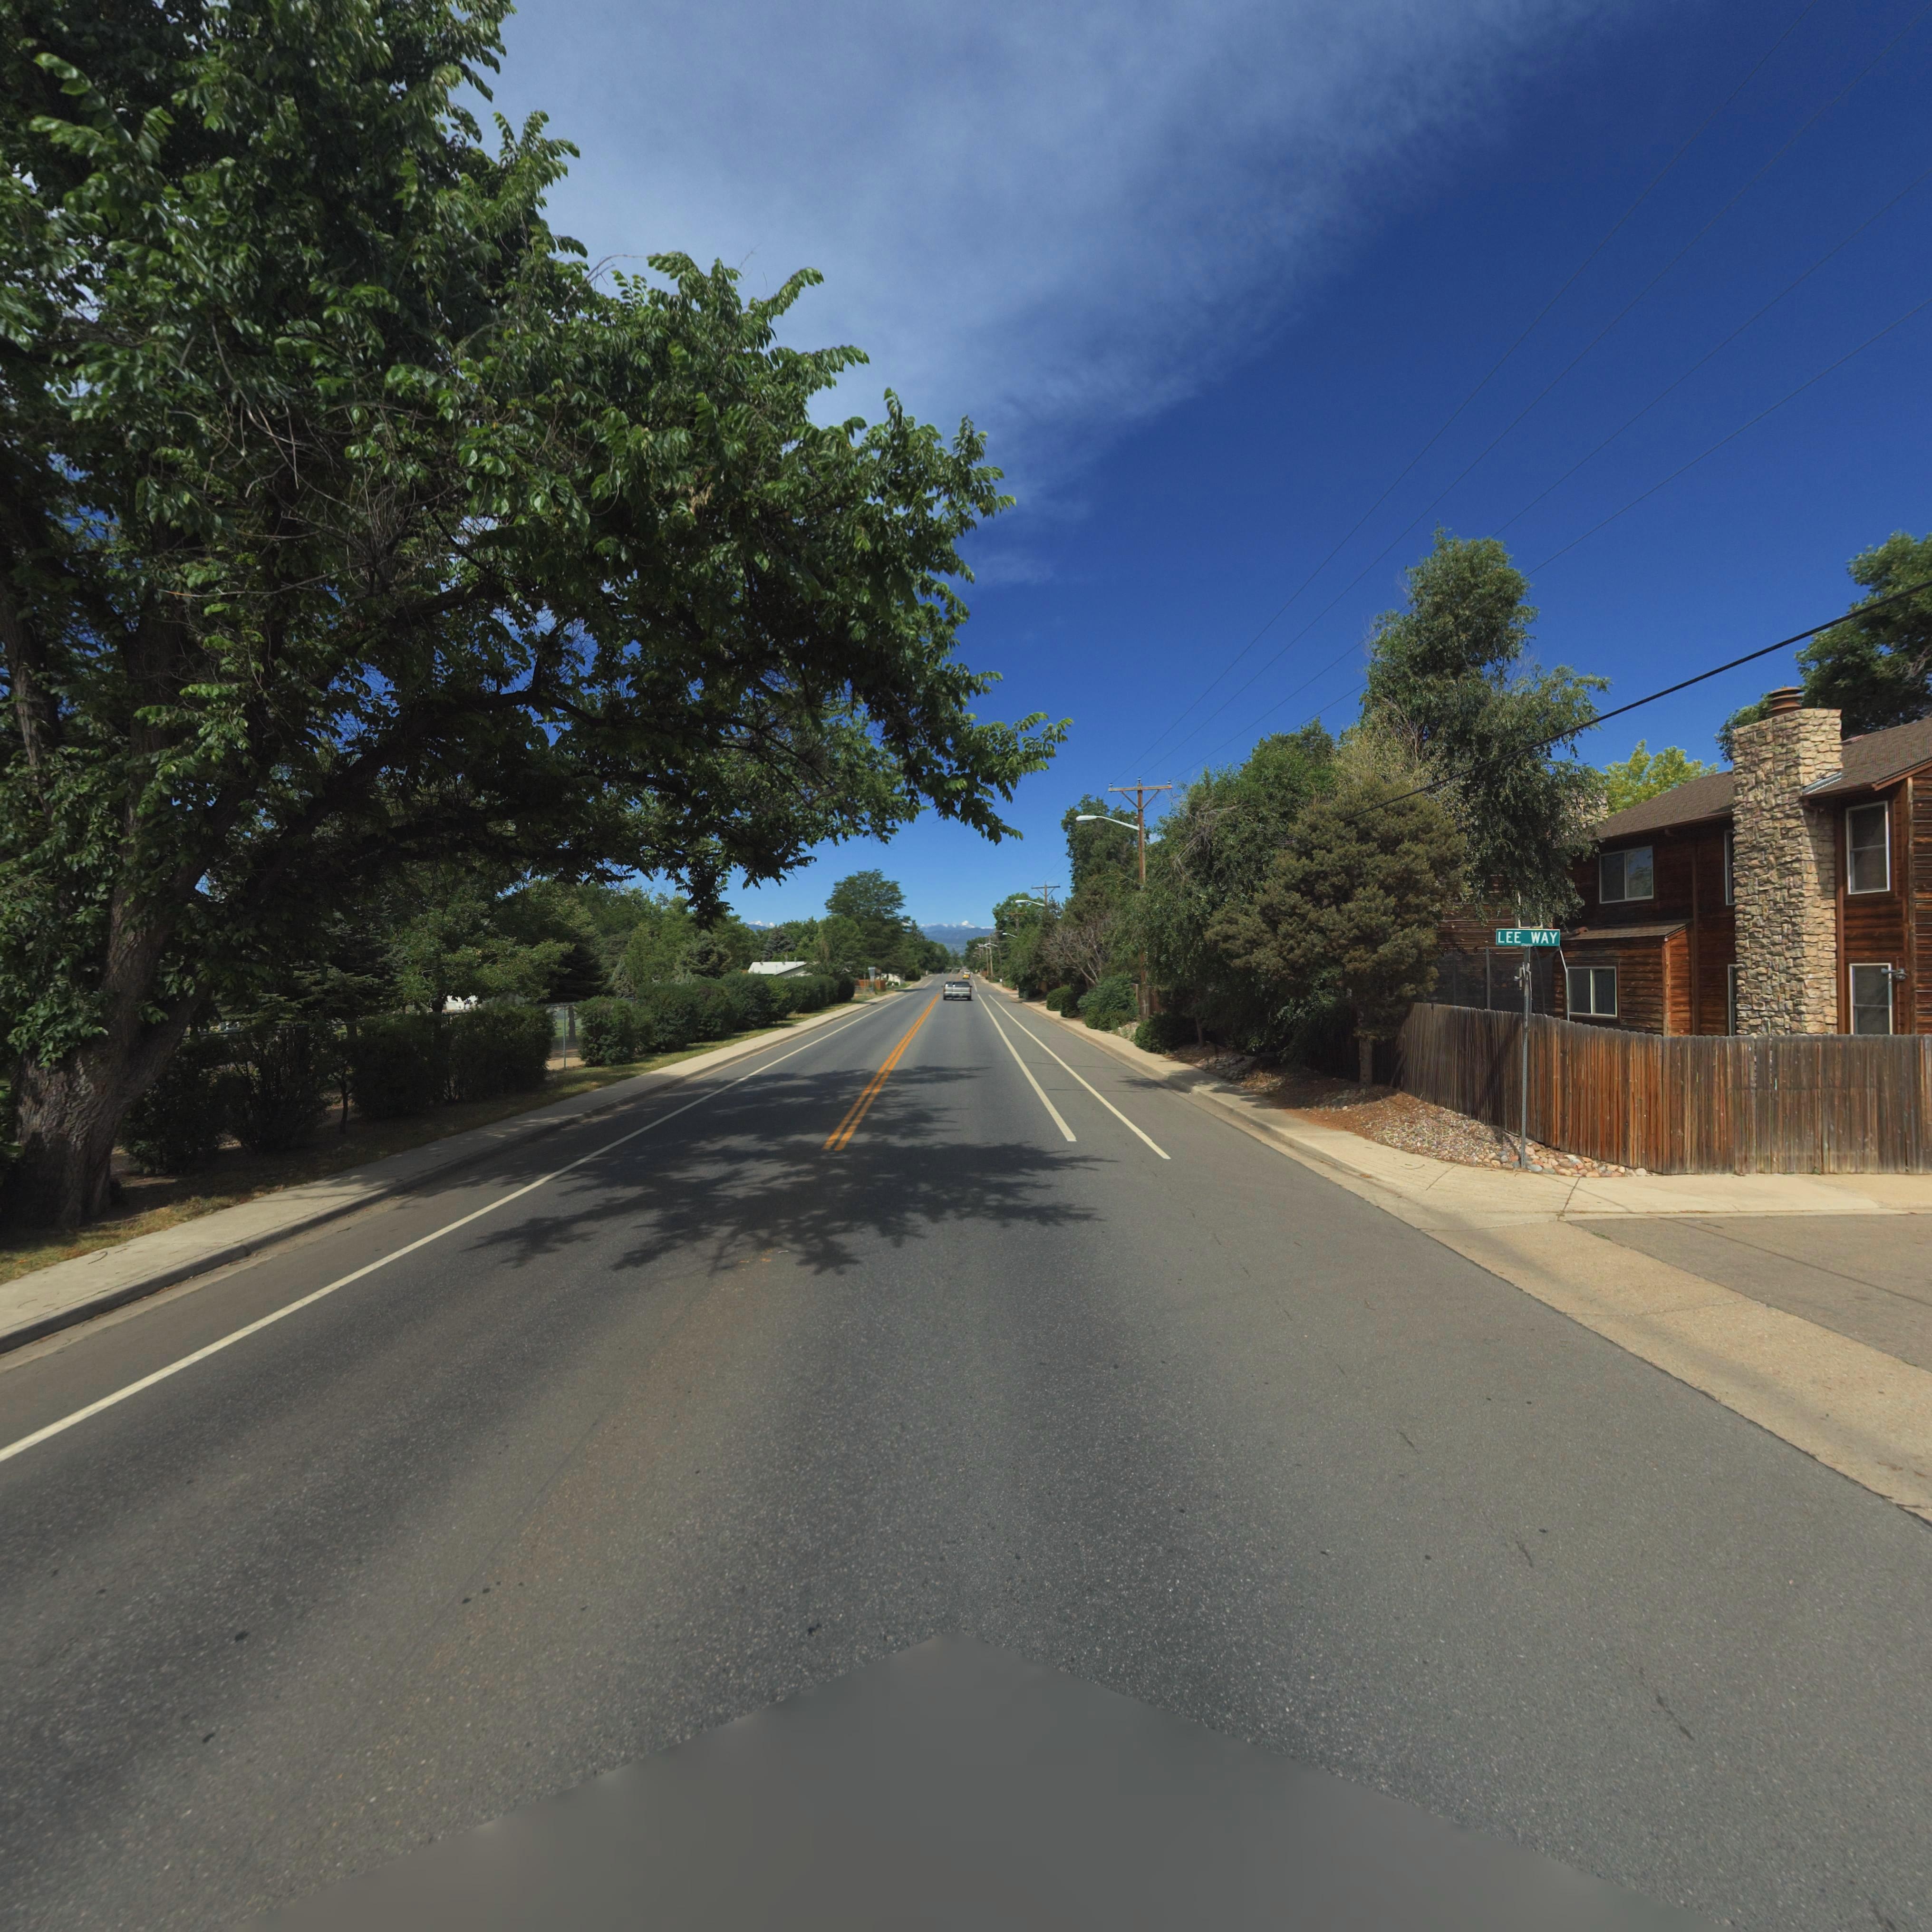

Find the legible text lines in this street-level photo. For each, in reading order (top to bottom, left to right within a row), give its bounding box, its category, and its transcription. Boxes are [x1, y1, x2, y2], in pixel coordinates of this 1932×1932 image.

[1497, 931, 1558, 944] StreetName: LEE WAY